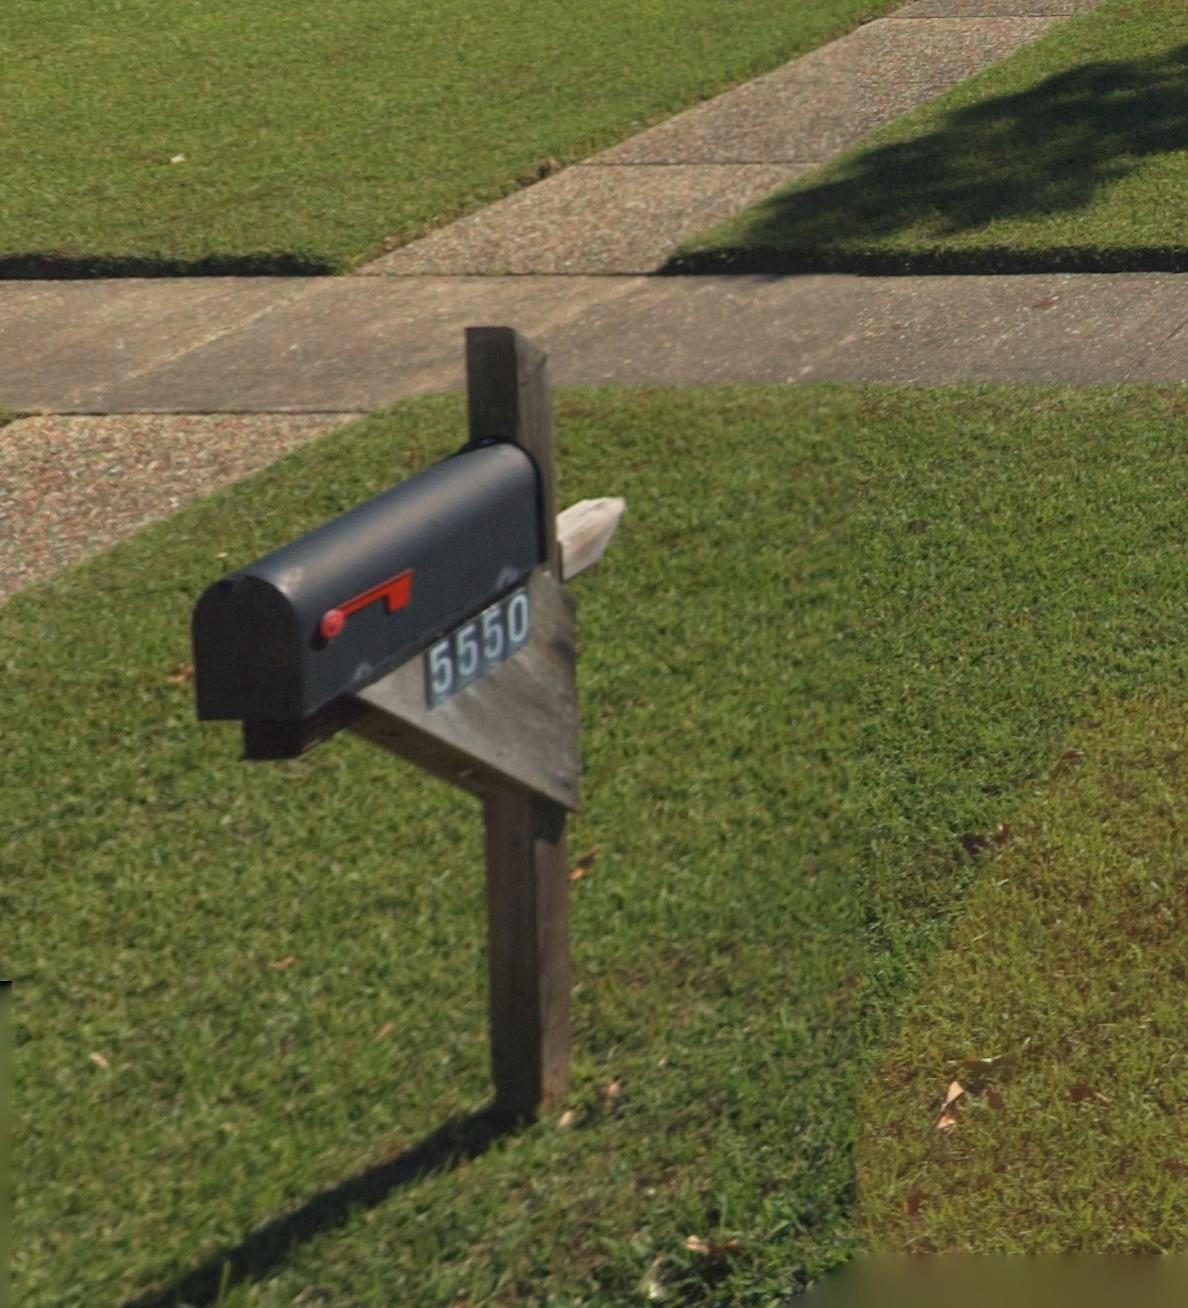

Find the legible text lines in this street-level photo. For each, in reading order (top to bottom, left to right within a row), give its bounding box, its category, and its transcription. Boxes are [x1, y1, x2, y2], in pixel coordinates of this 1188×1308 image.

[426, 582, 532, 704] StreetNumber: 5550